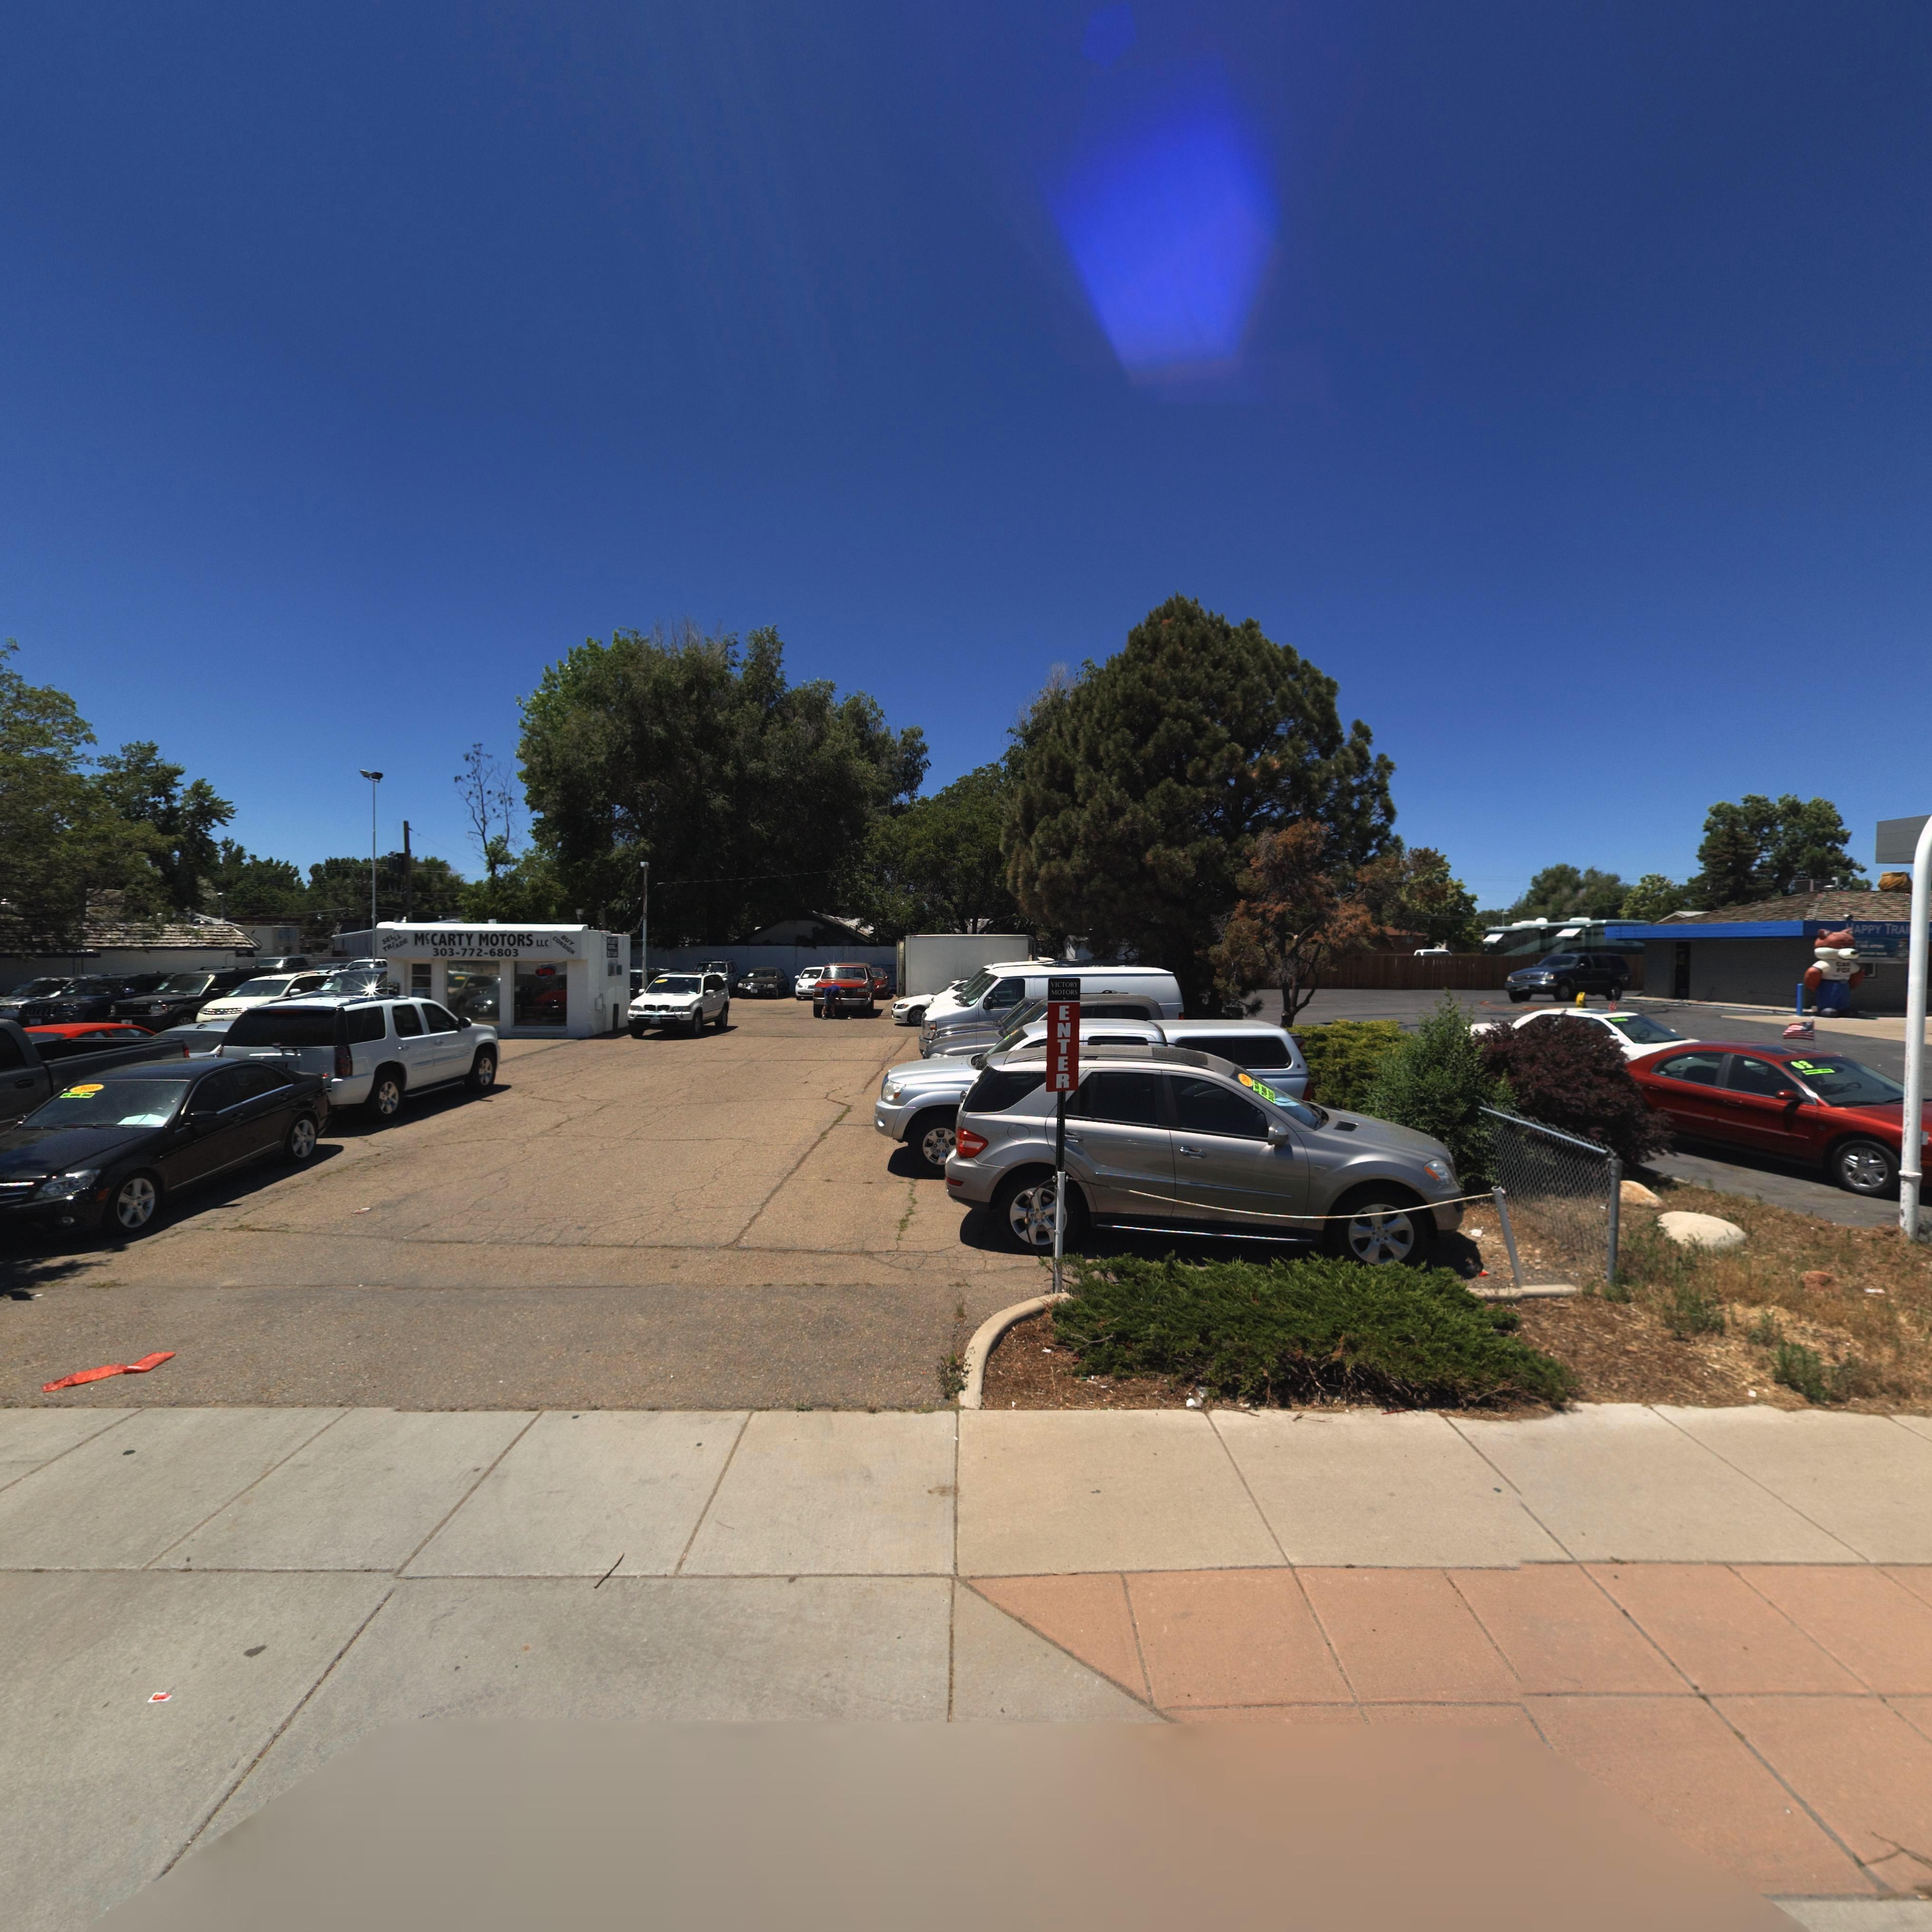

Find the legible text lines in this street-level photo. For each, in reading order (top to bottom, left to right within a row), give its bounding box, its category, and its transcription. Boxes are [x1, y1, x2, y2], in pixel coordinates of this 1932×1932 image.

[1845, 922, 1909, 935] BusinessName: HAPPY TRAI
[413, 931, 534, 947] BusinessName: McCARTH MOTORS